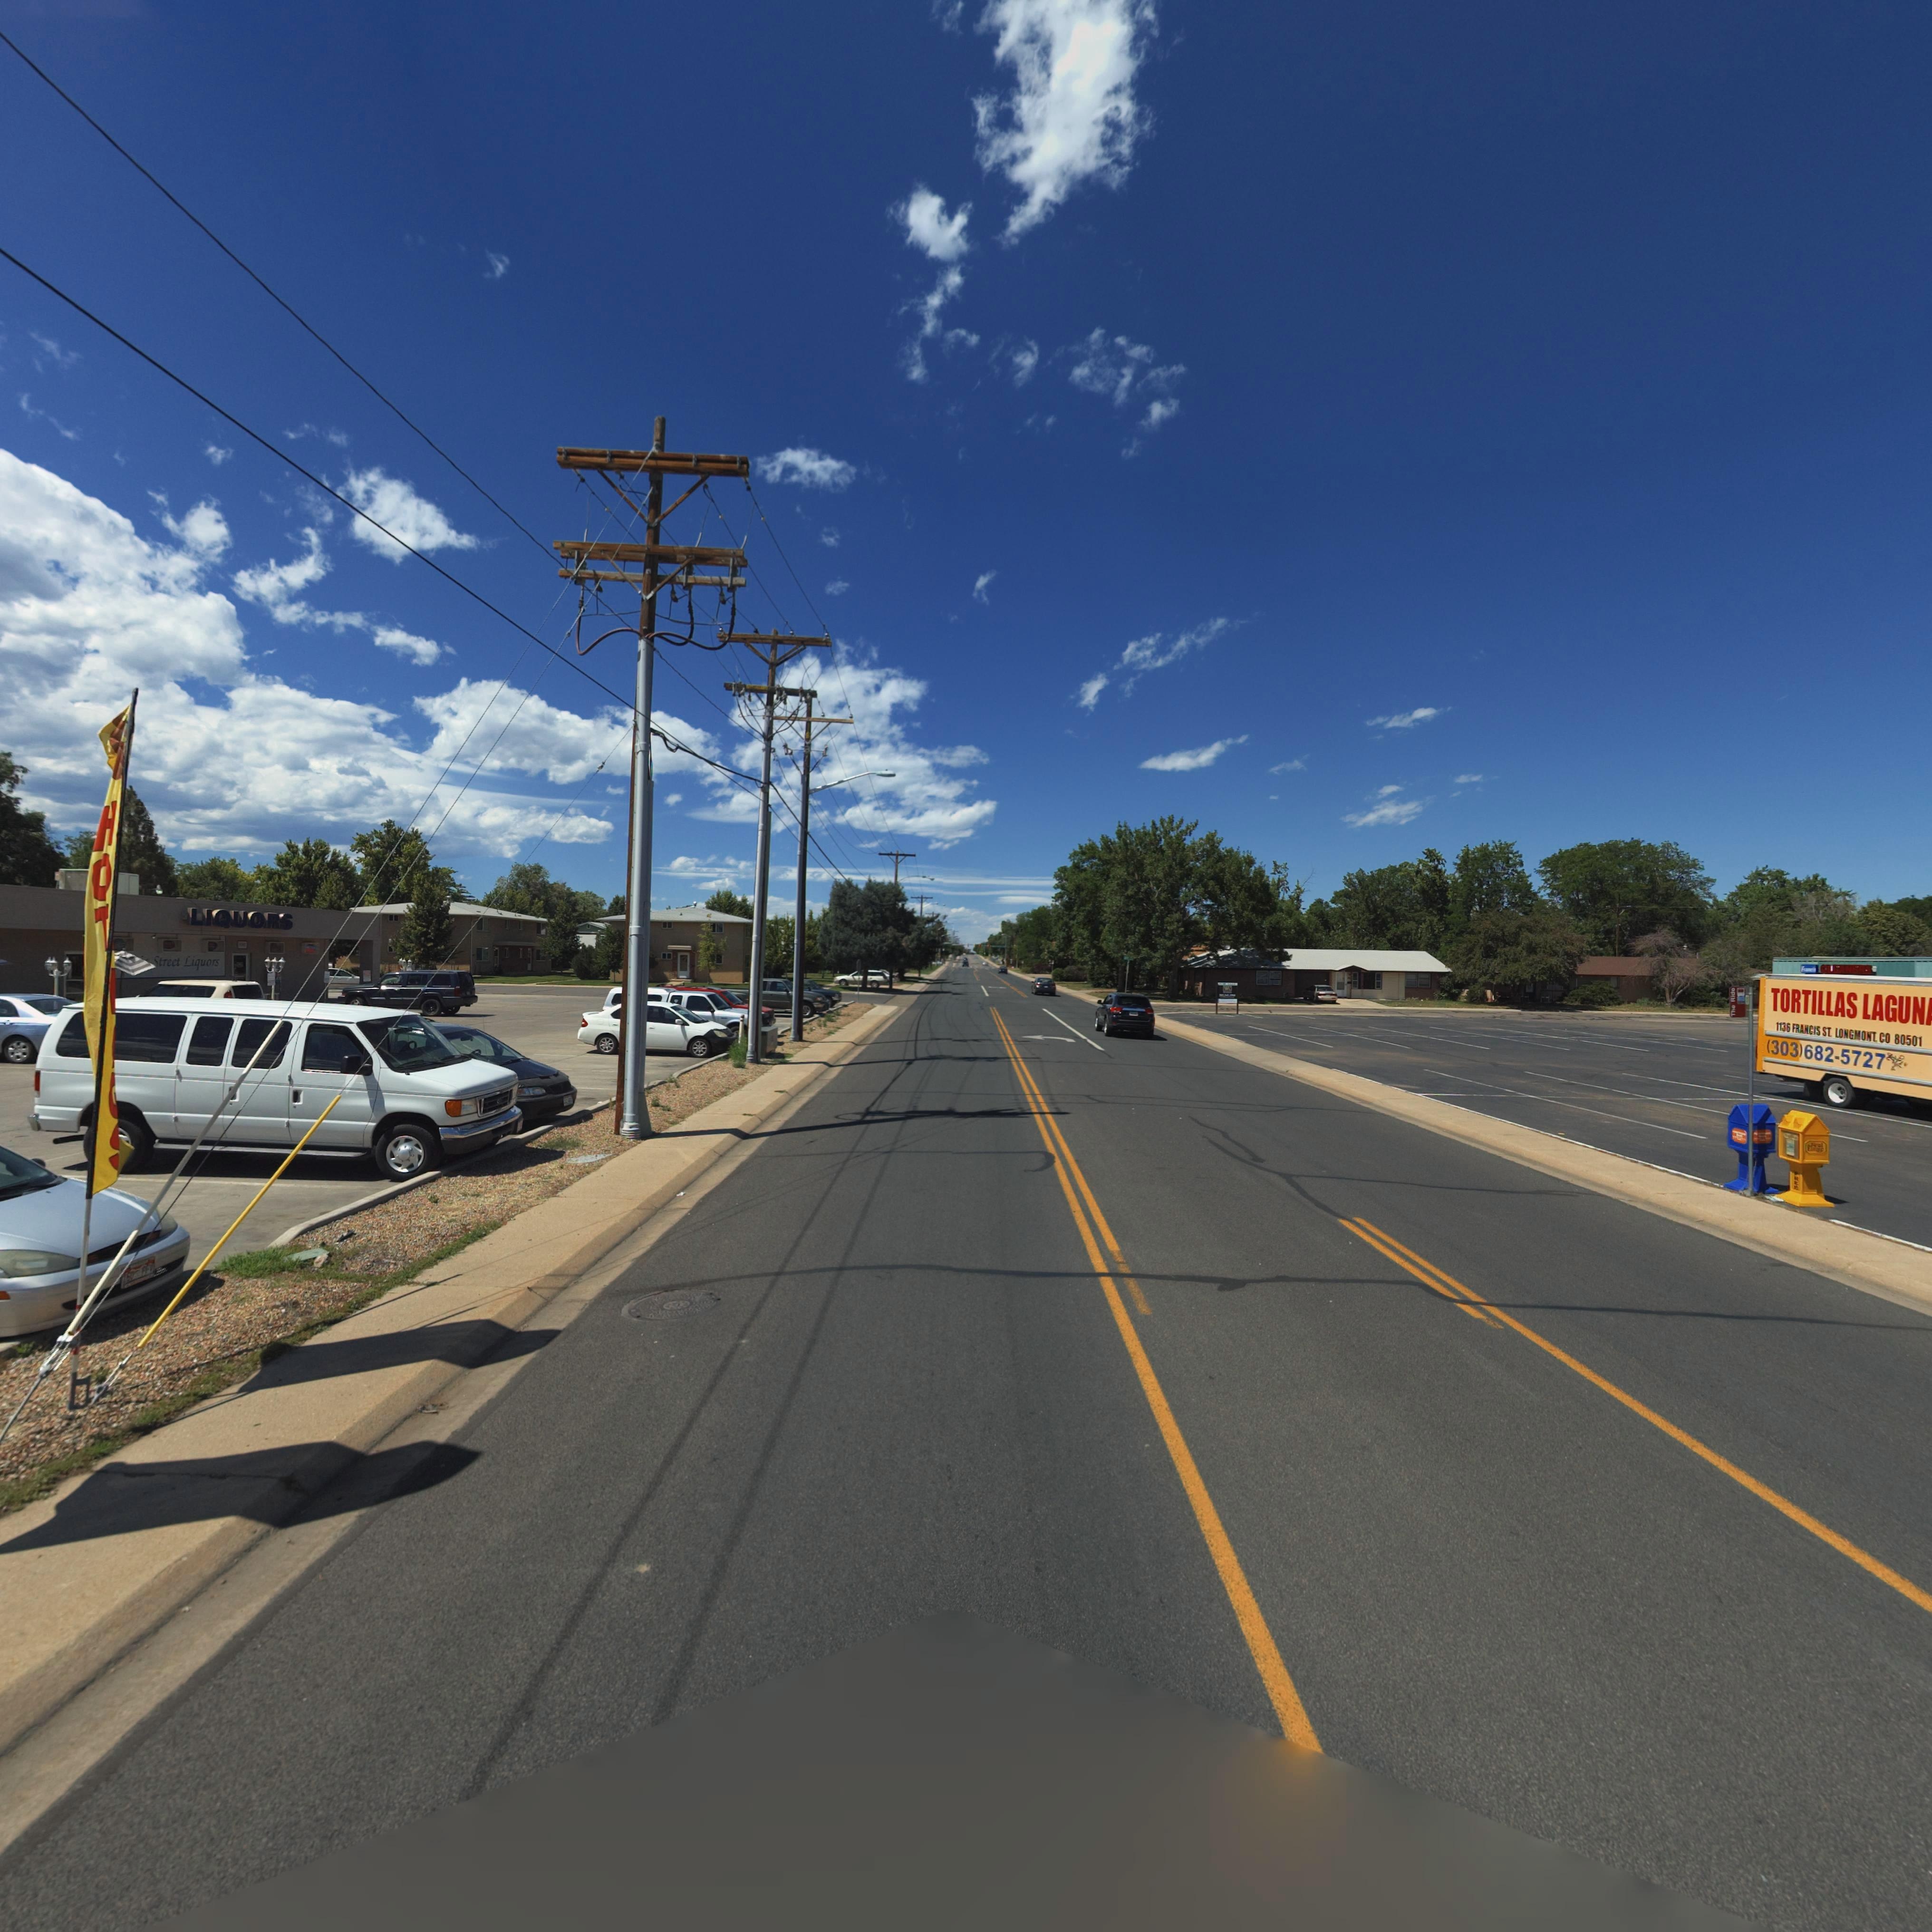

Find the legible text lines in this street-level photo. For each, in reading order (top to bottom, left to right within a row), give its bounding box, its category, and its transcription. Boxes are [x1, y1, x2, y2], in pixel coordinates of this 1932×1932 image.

[154, 955, 221, 970] BusinessName: Street Liquors